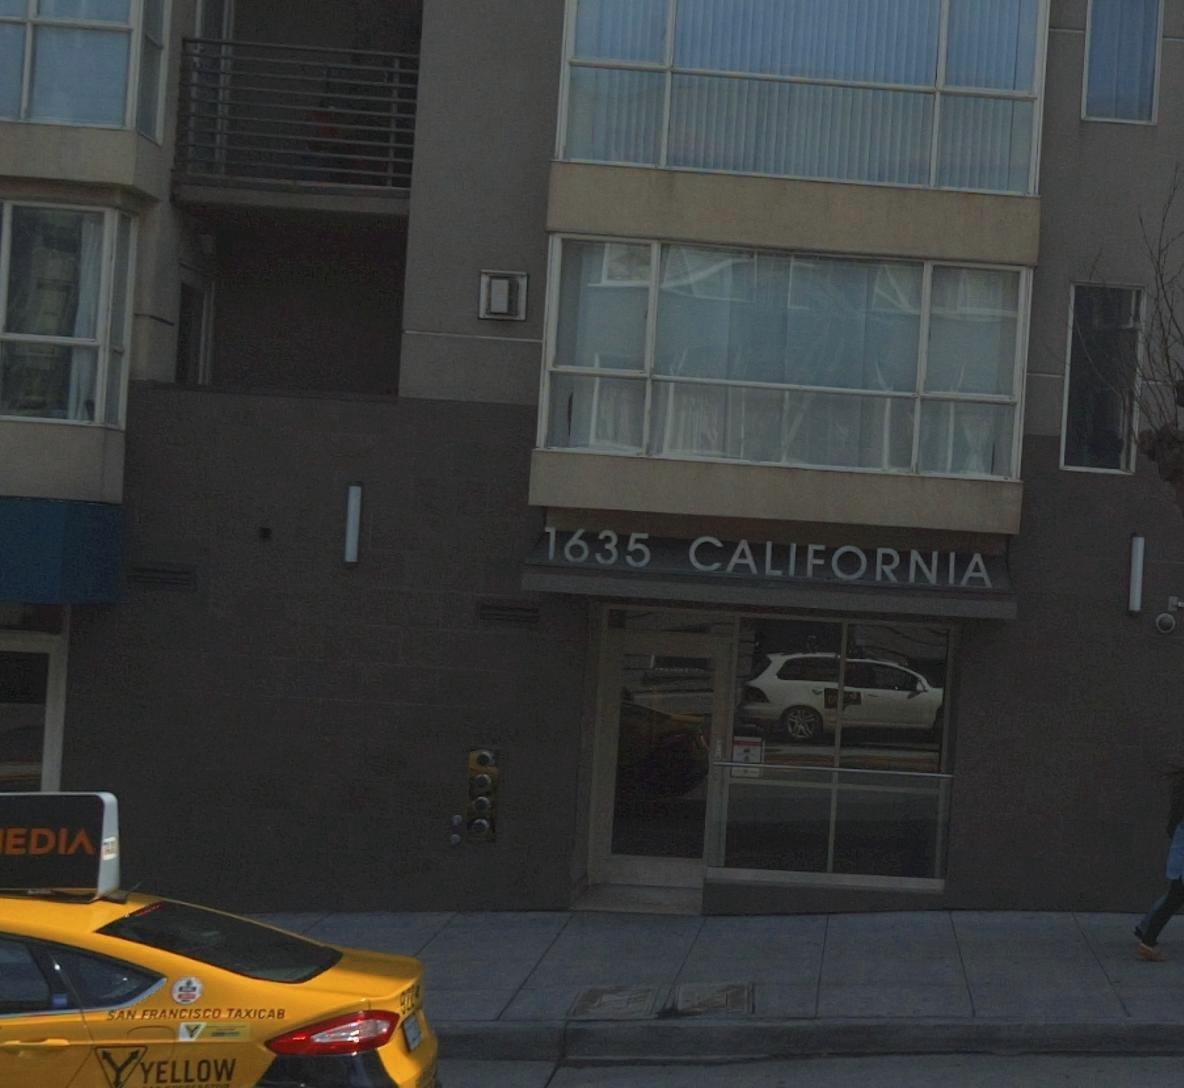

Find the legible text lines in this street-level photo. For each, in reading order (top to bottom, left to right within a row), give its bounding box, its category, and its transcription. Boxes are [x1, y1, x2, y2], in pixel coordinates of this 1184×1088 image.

[542, 525, 653, 570] StreetNumber: 1635
[686, 534, 995, 590] StreetName: CALIFORNIA
[3, 825, 98, 857] None: EDIA
[103, 1007, 287, 1023] None: SAN FRANCISCO TAXICAB
[138, 1056, 239, 1085] None: YELLOW